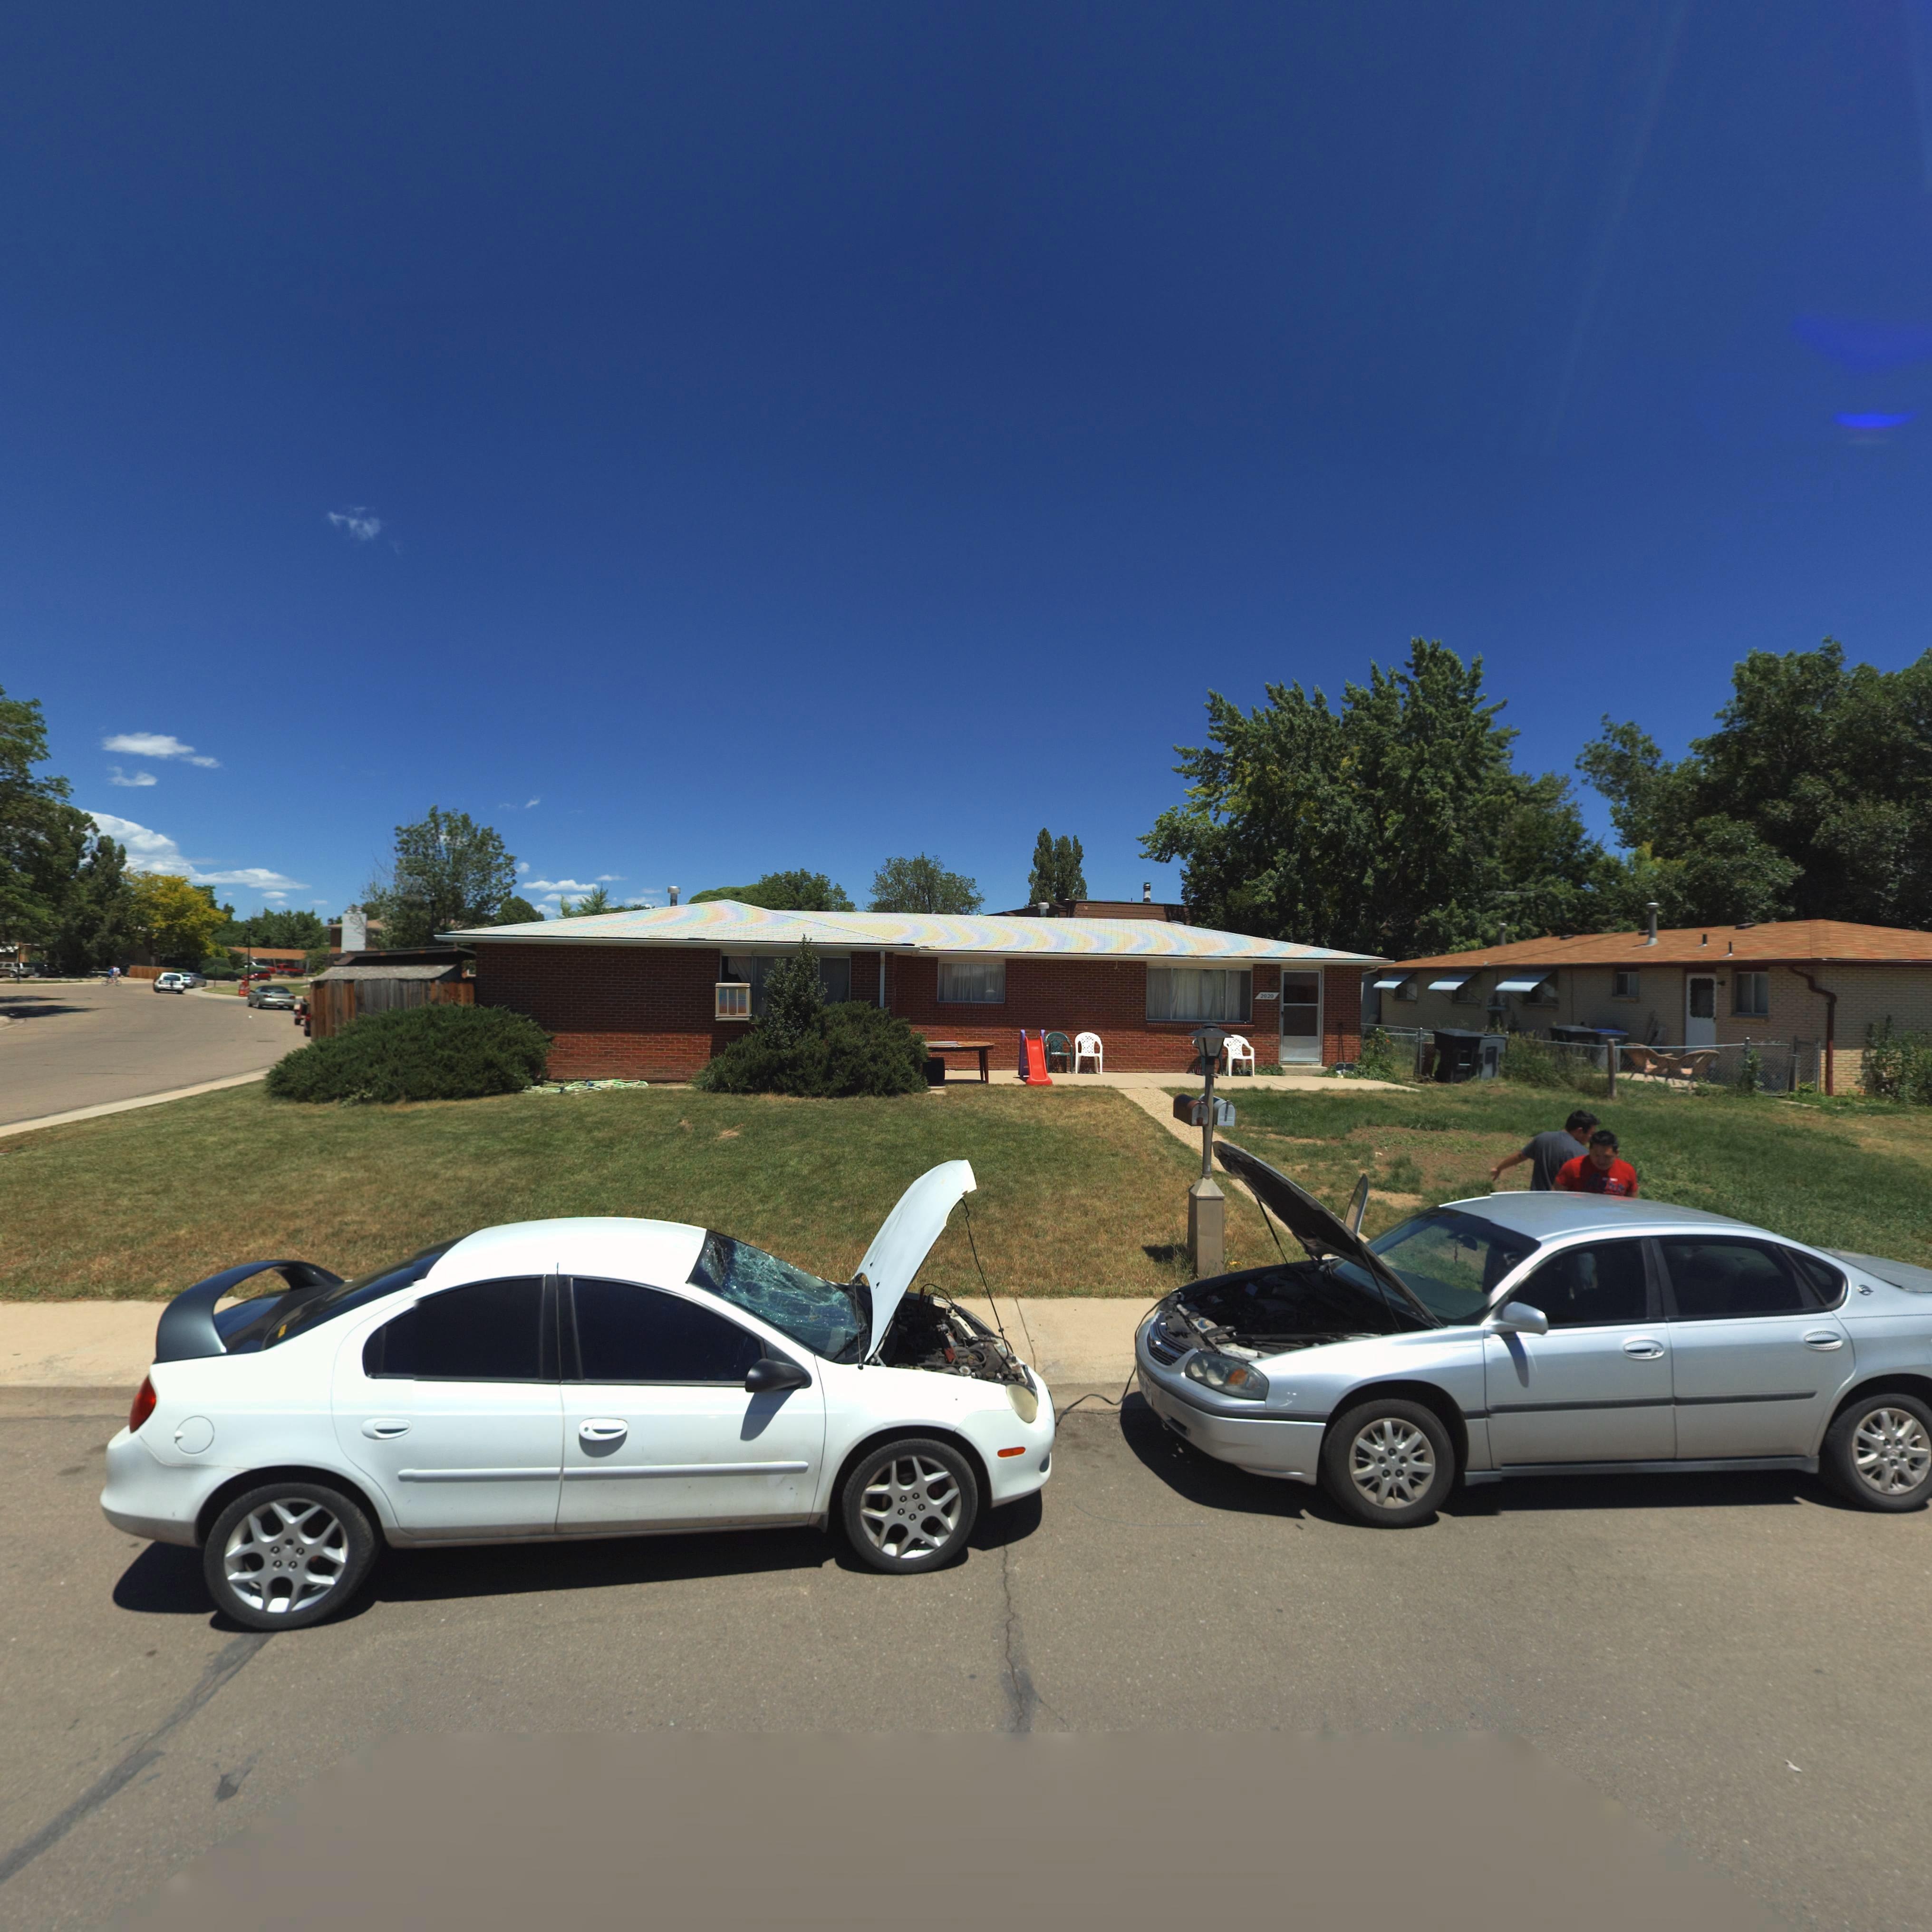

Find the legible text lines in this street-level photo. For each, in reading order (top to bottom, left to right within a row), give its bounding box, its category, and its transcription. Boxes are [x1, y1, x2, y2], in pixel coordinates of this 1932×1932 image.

[1260, 993, 1274, 998] StreetNumber: 2020